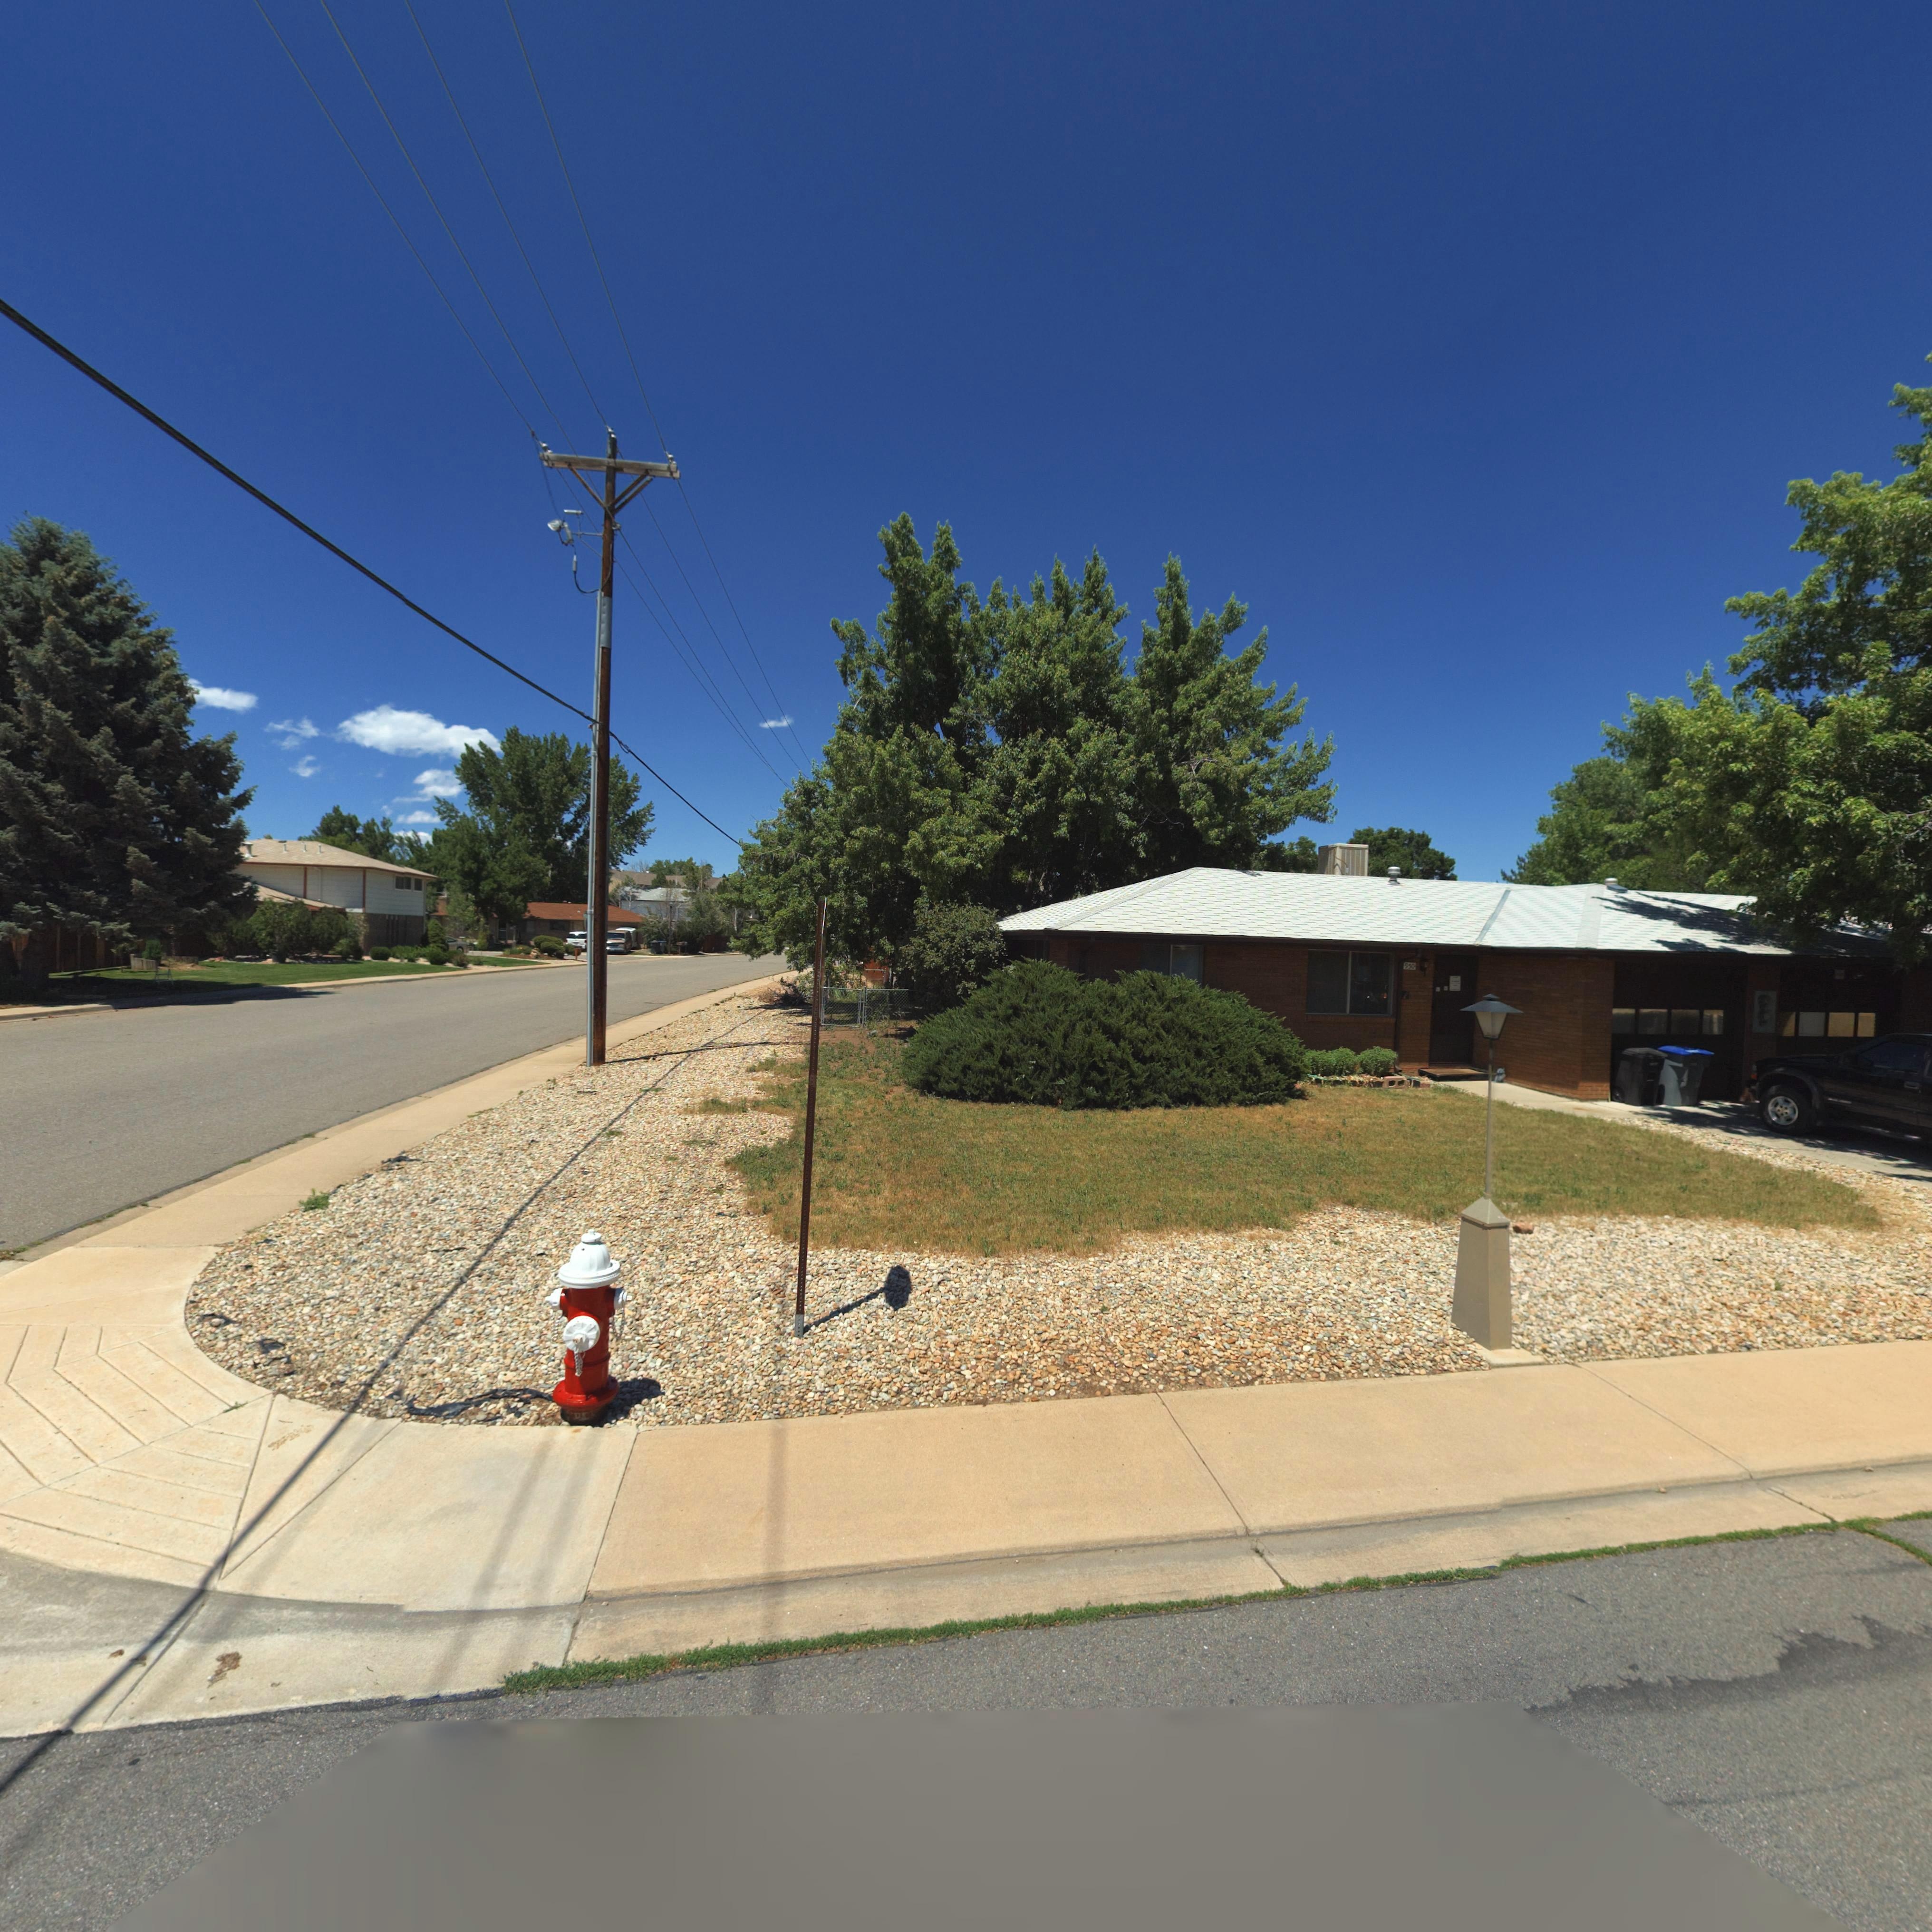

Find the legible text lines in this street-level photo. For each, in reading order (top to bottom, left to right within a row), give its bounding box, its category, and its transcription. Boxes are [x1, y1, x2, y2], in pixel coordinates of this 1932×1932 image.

[1404, 963, 1415, 969] StreetNumber: 950